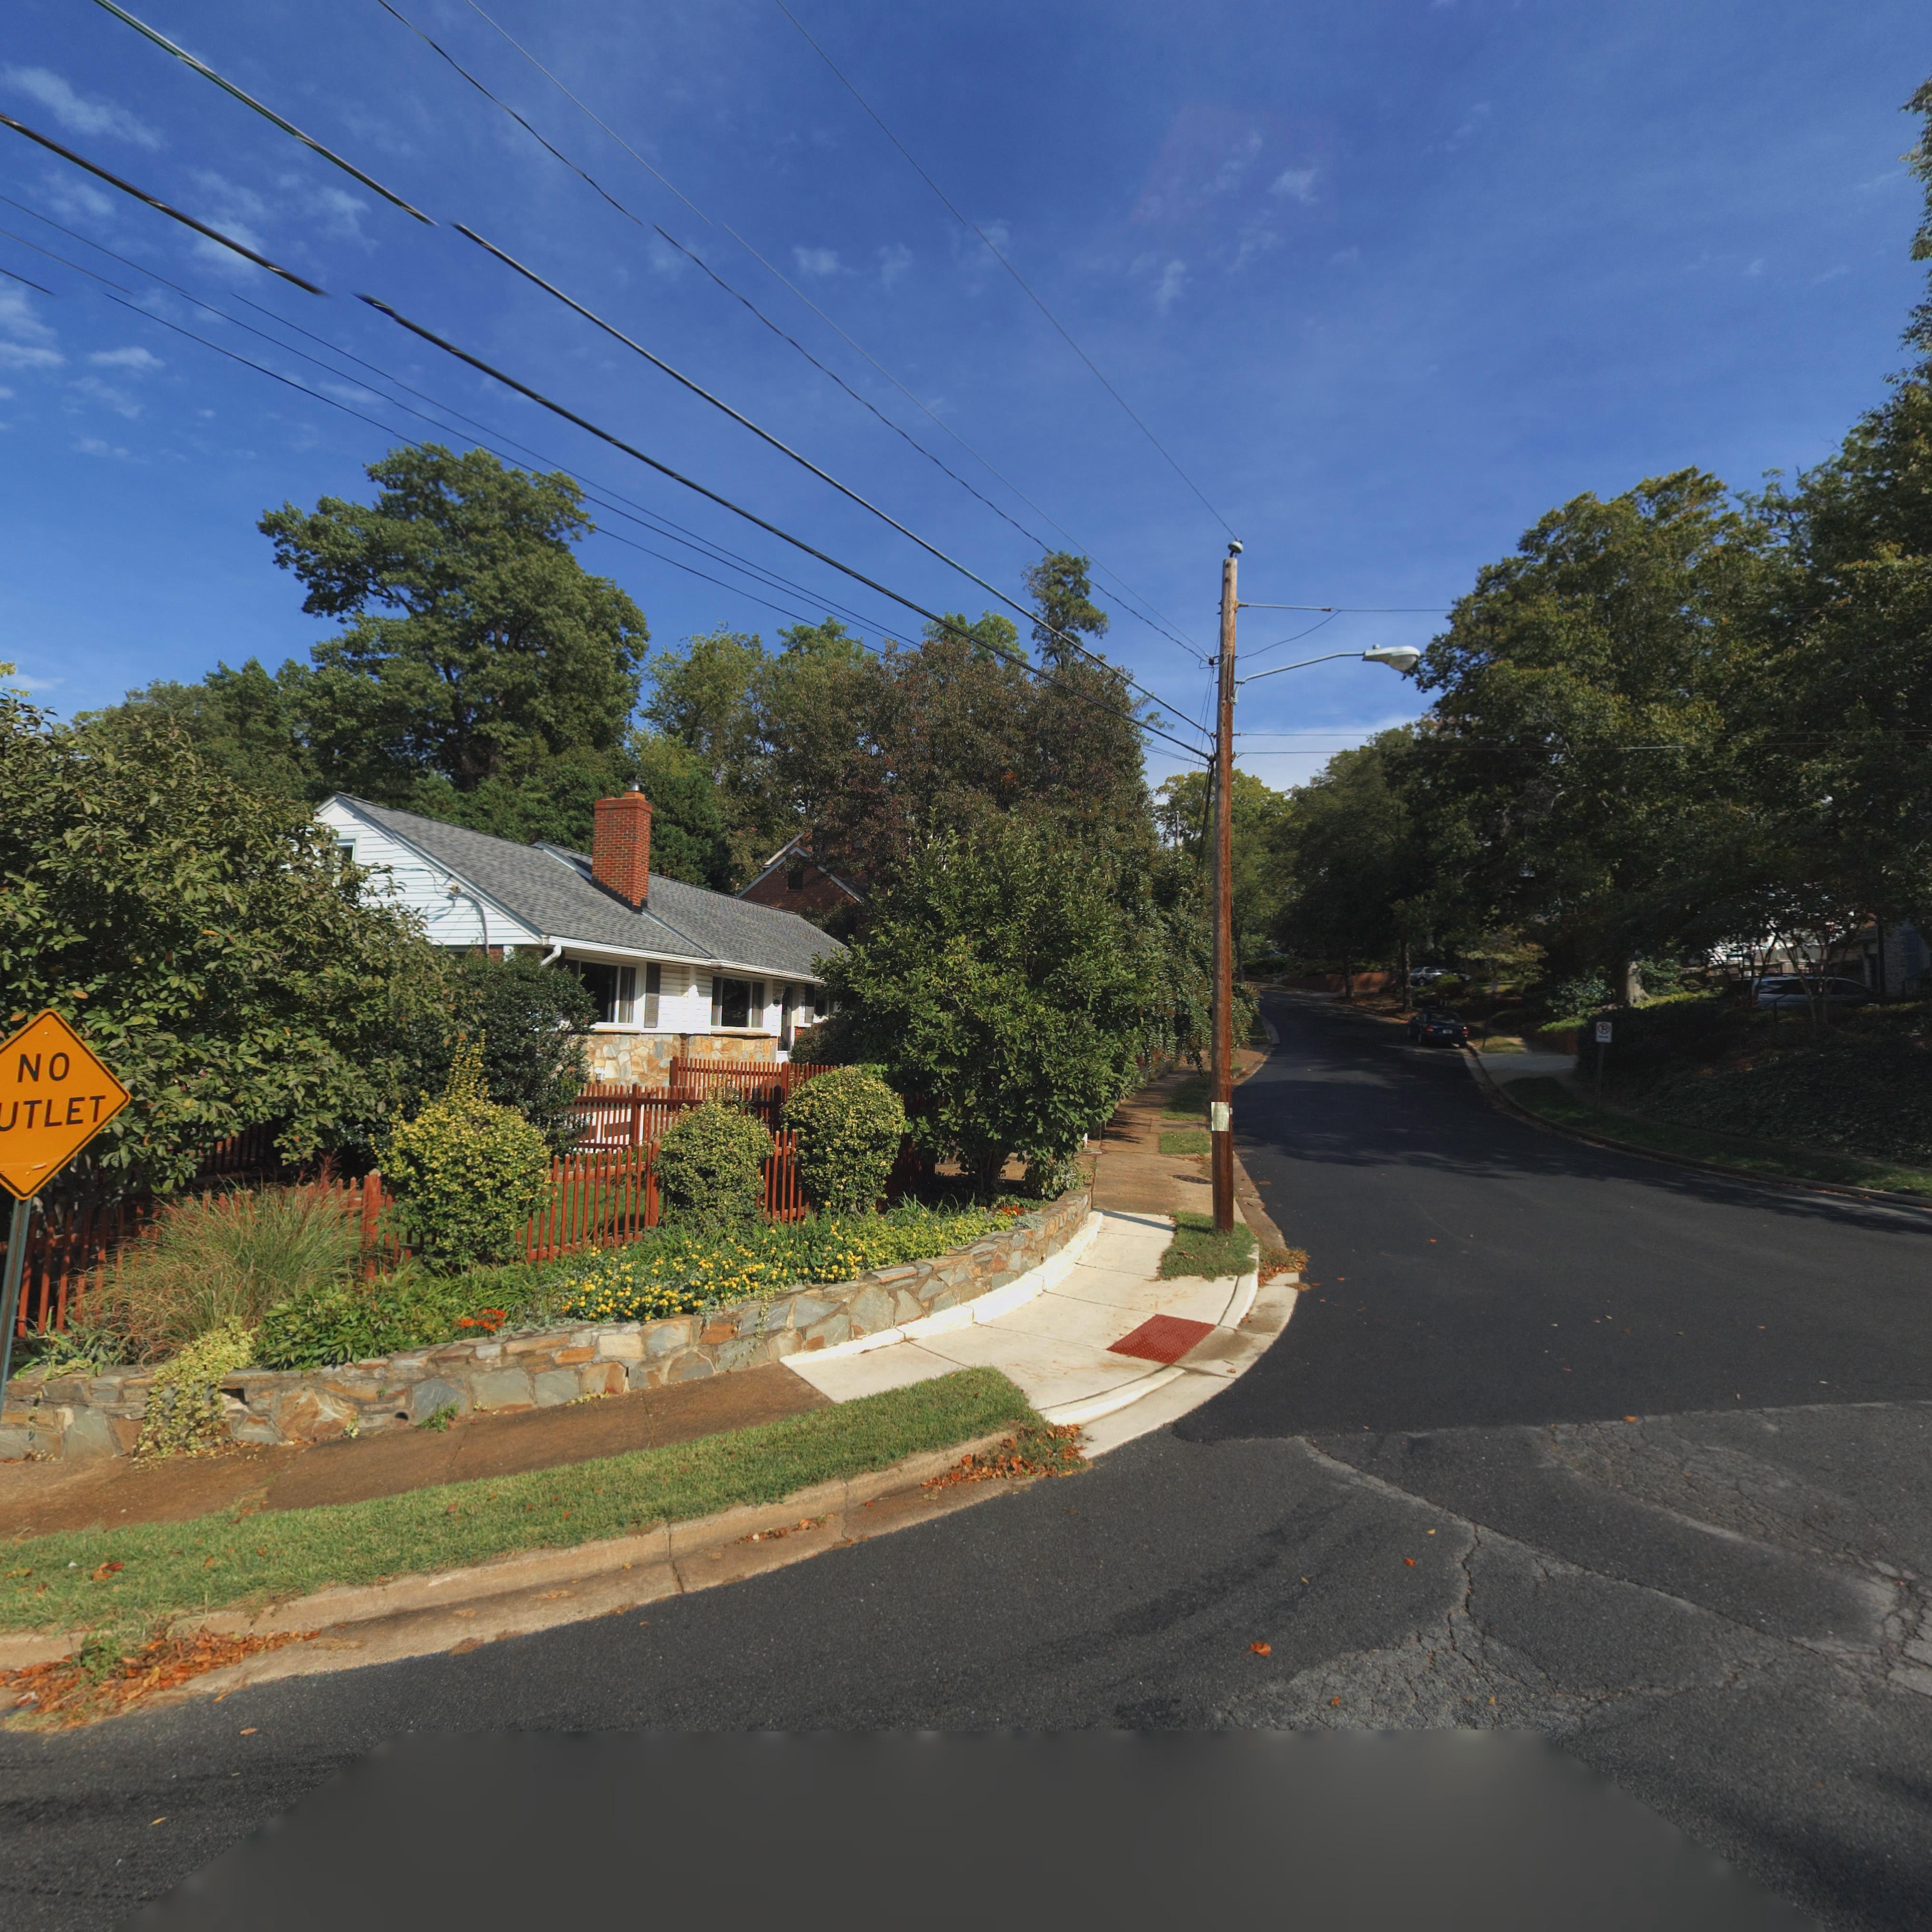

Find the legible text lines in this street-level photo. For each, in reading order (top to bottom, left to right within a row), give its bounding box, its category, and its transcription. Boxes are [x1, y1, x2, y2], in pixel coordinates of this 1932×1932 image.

[15, 1050, 71, 1084] None: NO
[21, 1093, 108, 1131] None: TLET